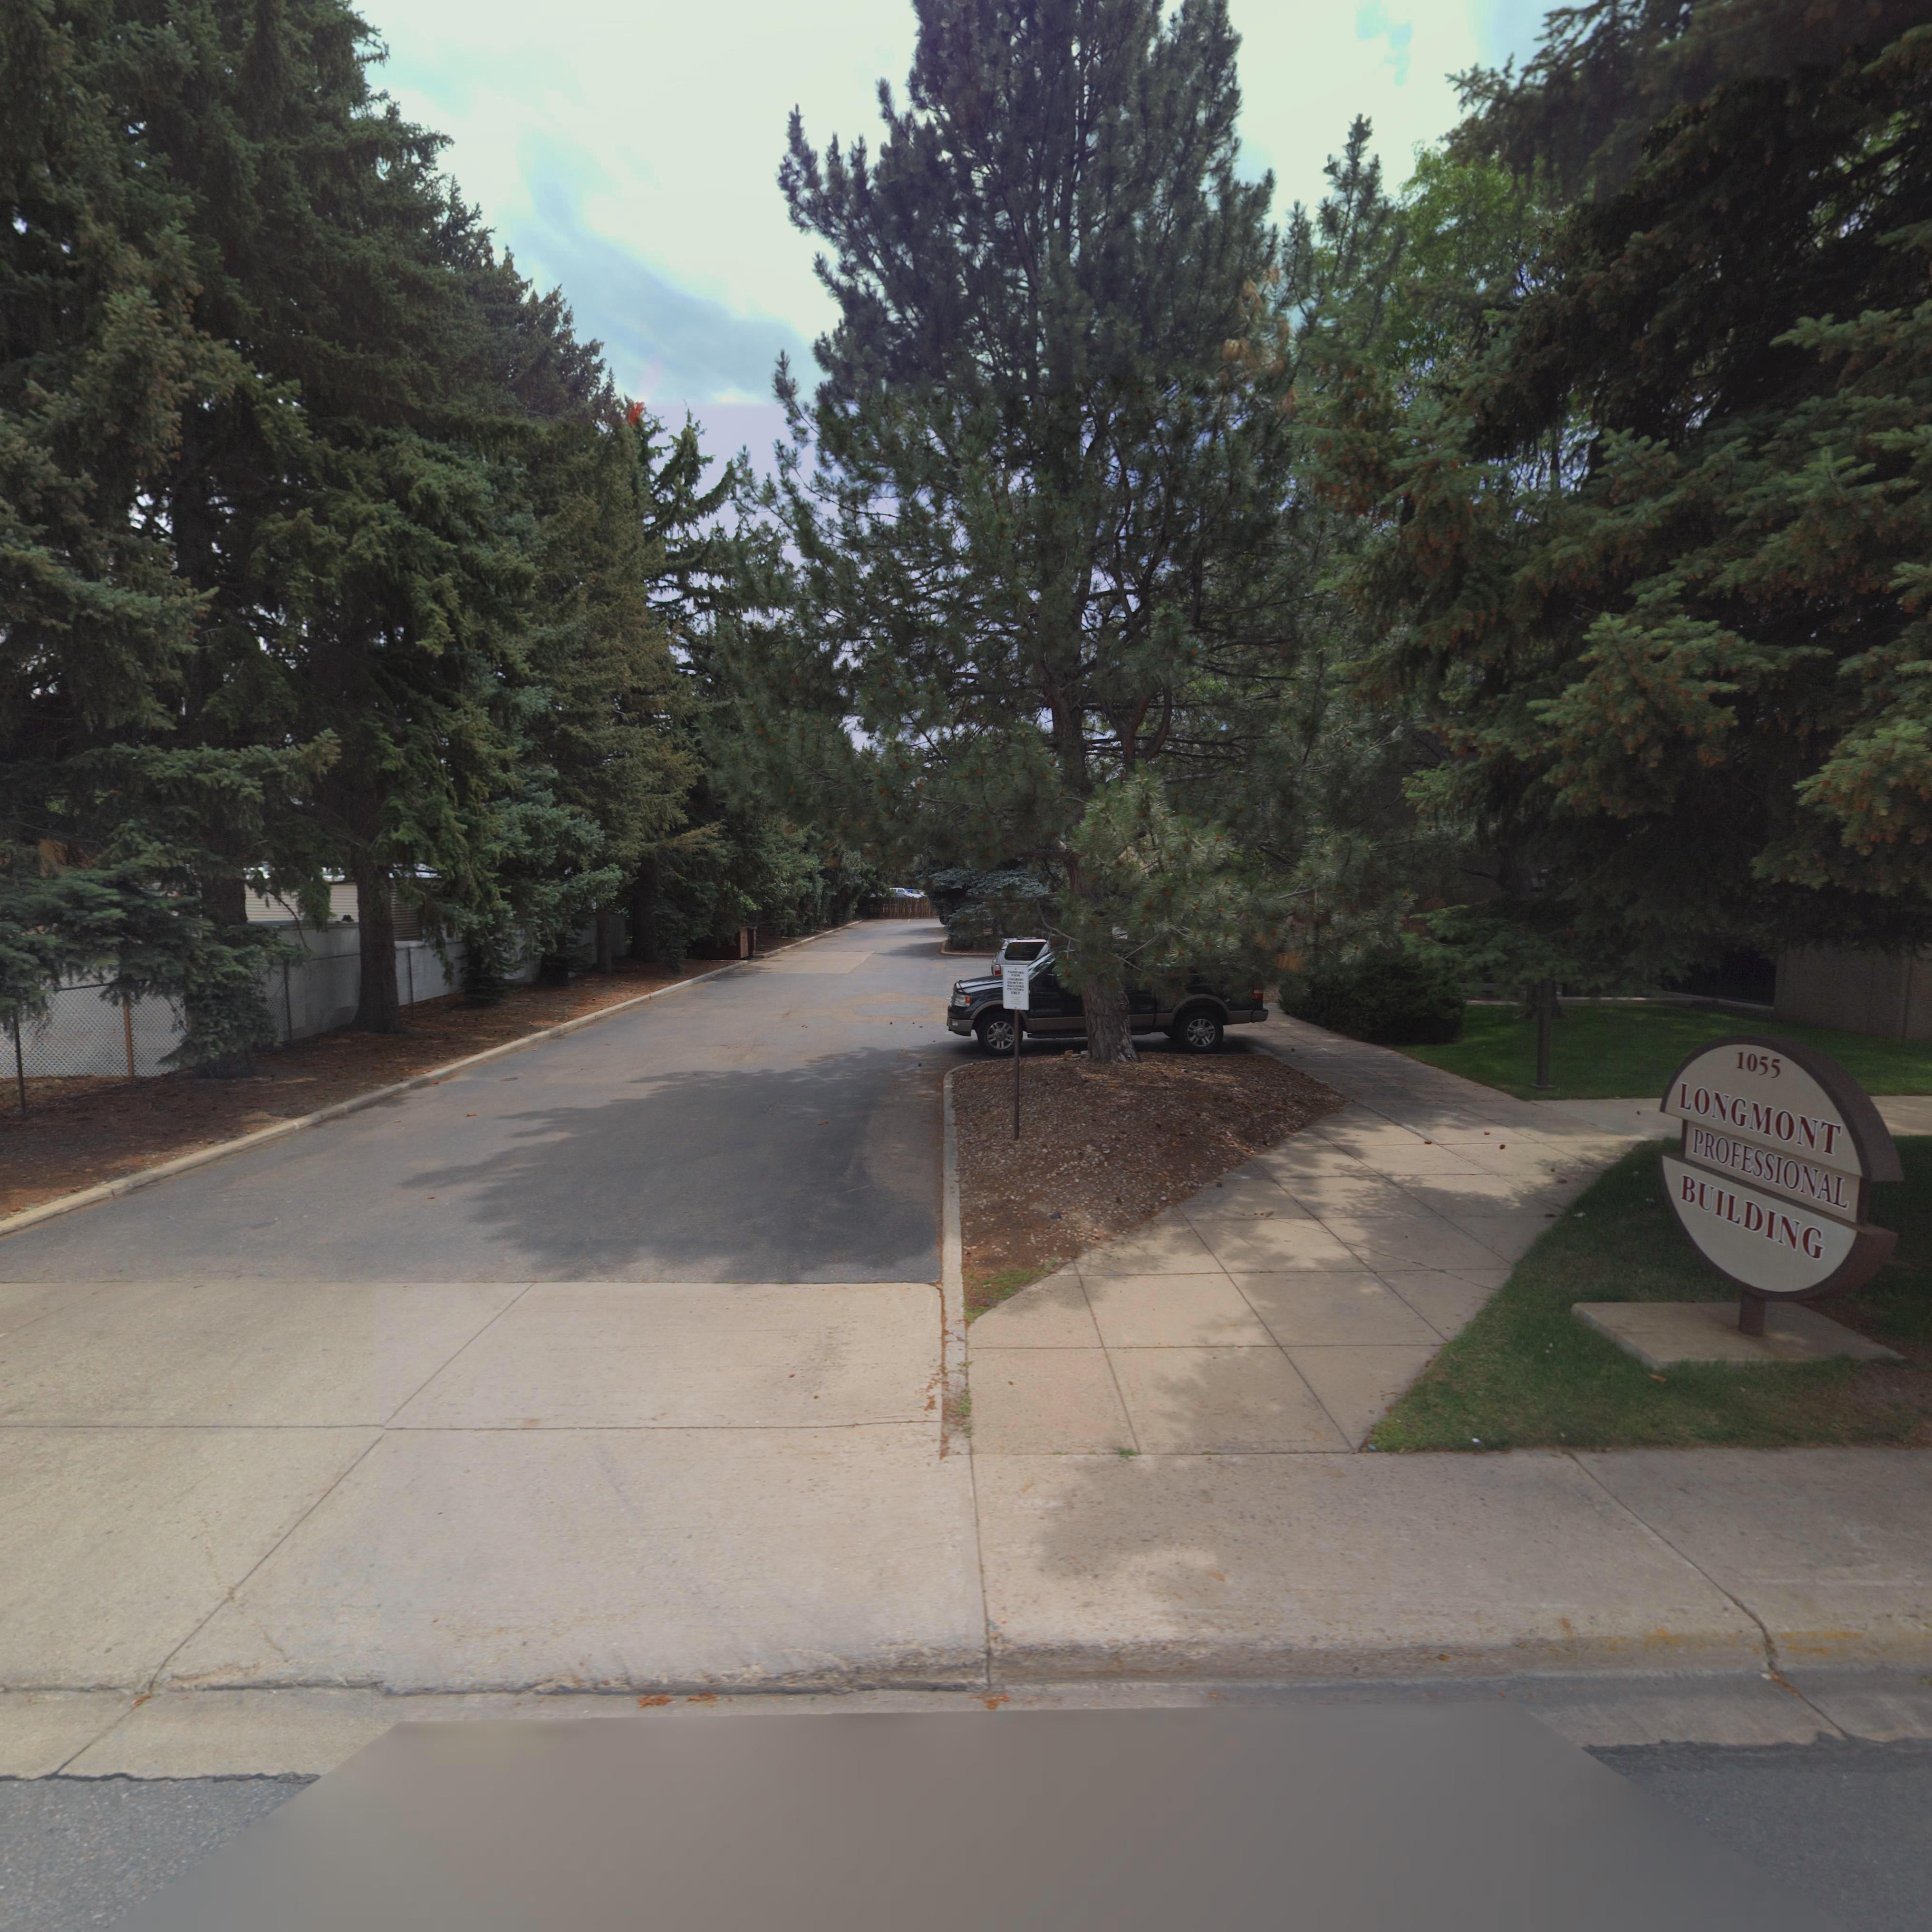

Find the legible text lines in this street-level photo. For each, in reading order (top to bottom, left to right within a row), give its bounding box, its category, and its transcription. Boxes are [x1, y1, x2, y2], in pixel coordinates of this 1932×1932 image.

[1734, 1049, 1783, 1081] StreetNumber: 1055
[1677, 1080, 1844, 1157] BusinessName: LONGMONT
[1690, 1125, 1850, 1211] BusinessName: PROFESSIONAL
[1679, 1171, 1826, 1261] BusinessName: BUILDING